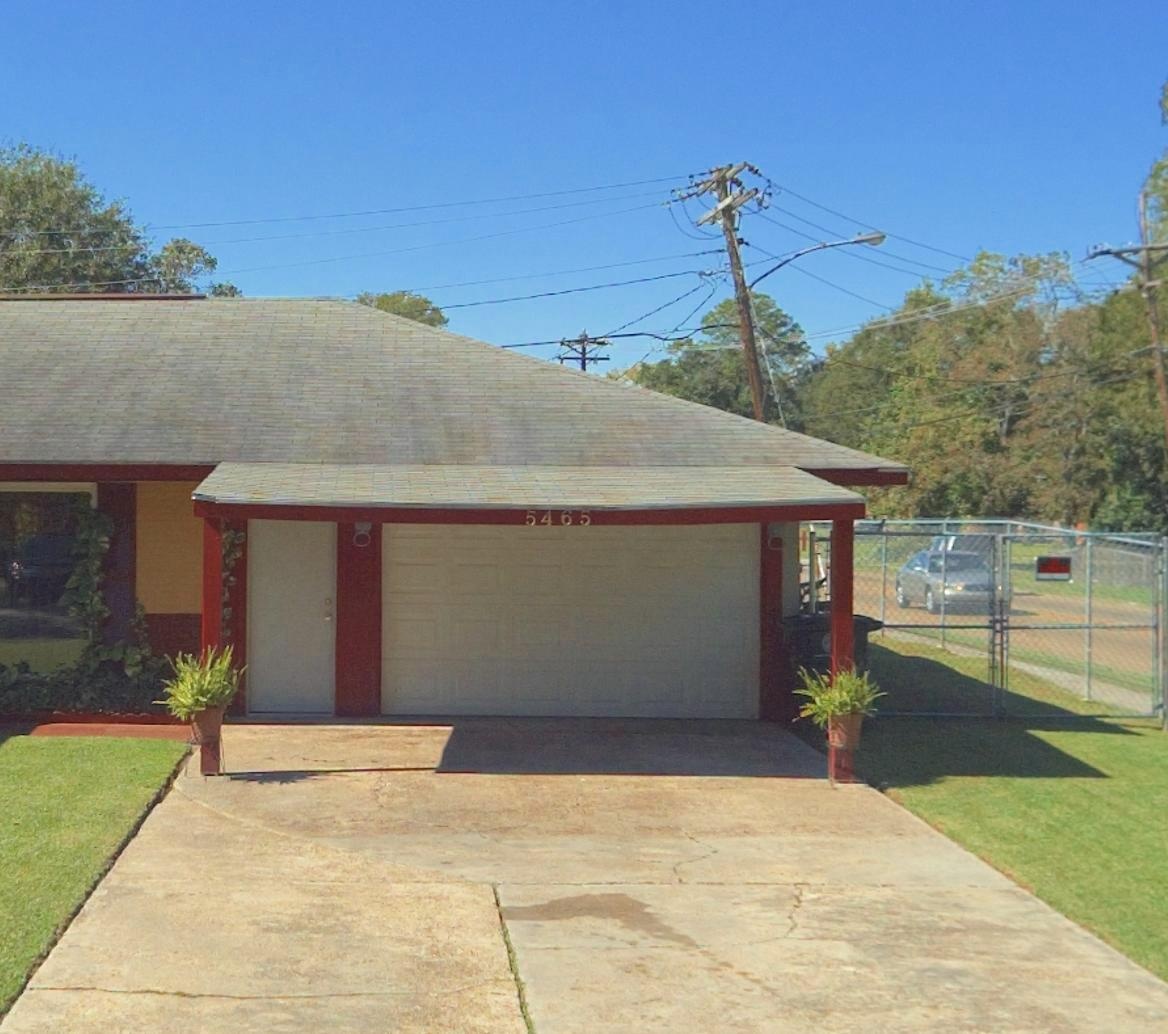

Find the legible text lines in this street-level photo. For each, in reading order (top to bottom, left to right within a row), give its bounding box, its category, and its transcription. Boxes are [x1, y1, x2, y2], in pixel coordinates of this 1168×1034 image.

[524, 509, 592, 527] StreetNumber: 5465